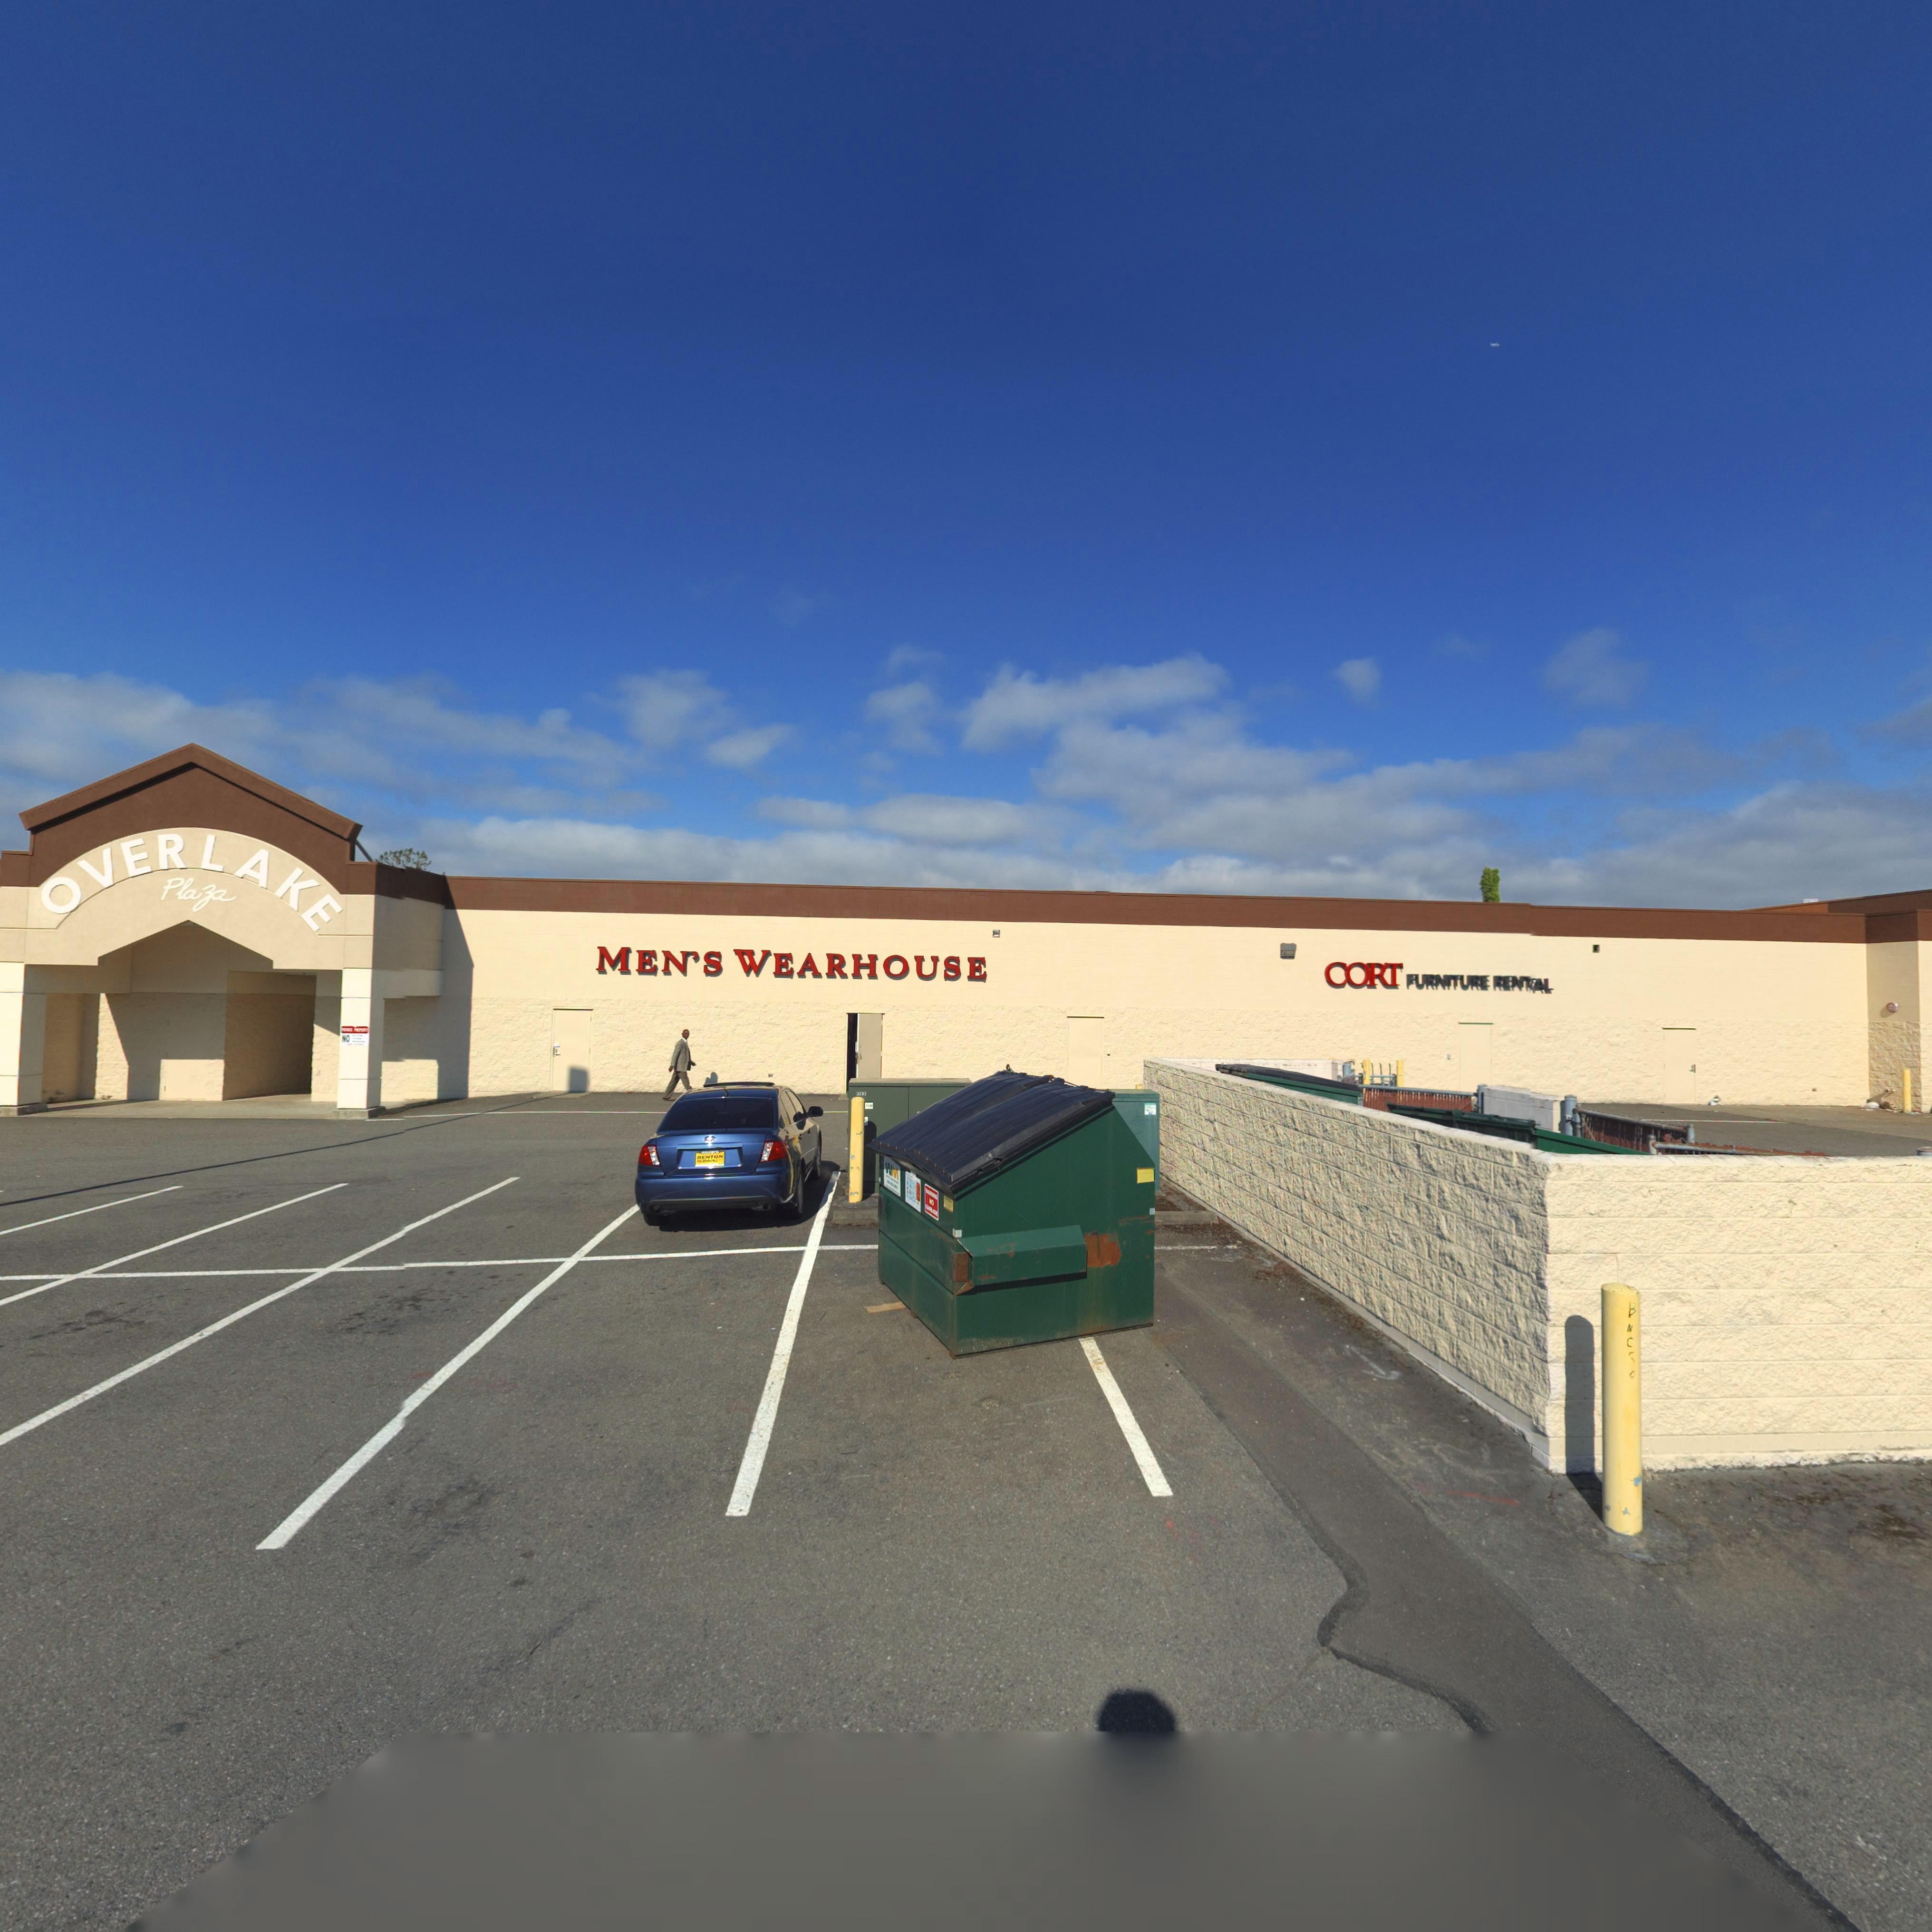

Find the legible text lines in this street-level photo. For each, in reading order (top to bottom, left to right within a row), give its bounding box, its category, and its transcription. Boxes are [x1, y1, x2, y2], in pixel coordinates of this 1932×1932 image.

[596, 947, 987, 982] BusinessName: MEN'S WEARHOUSE
[1323, 961, 1405, 987] BusinessName: CORT